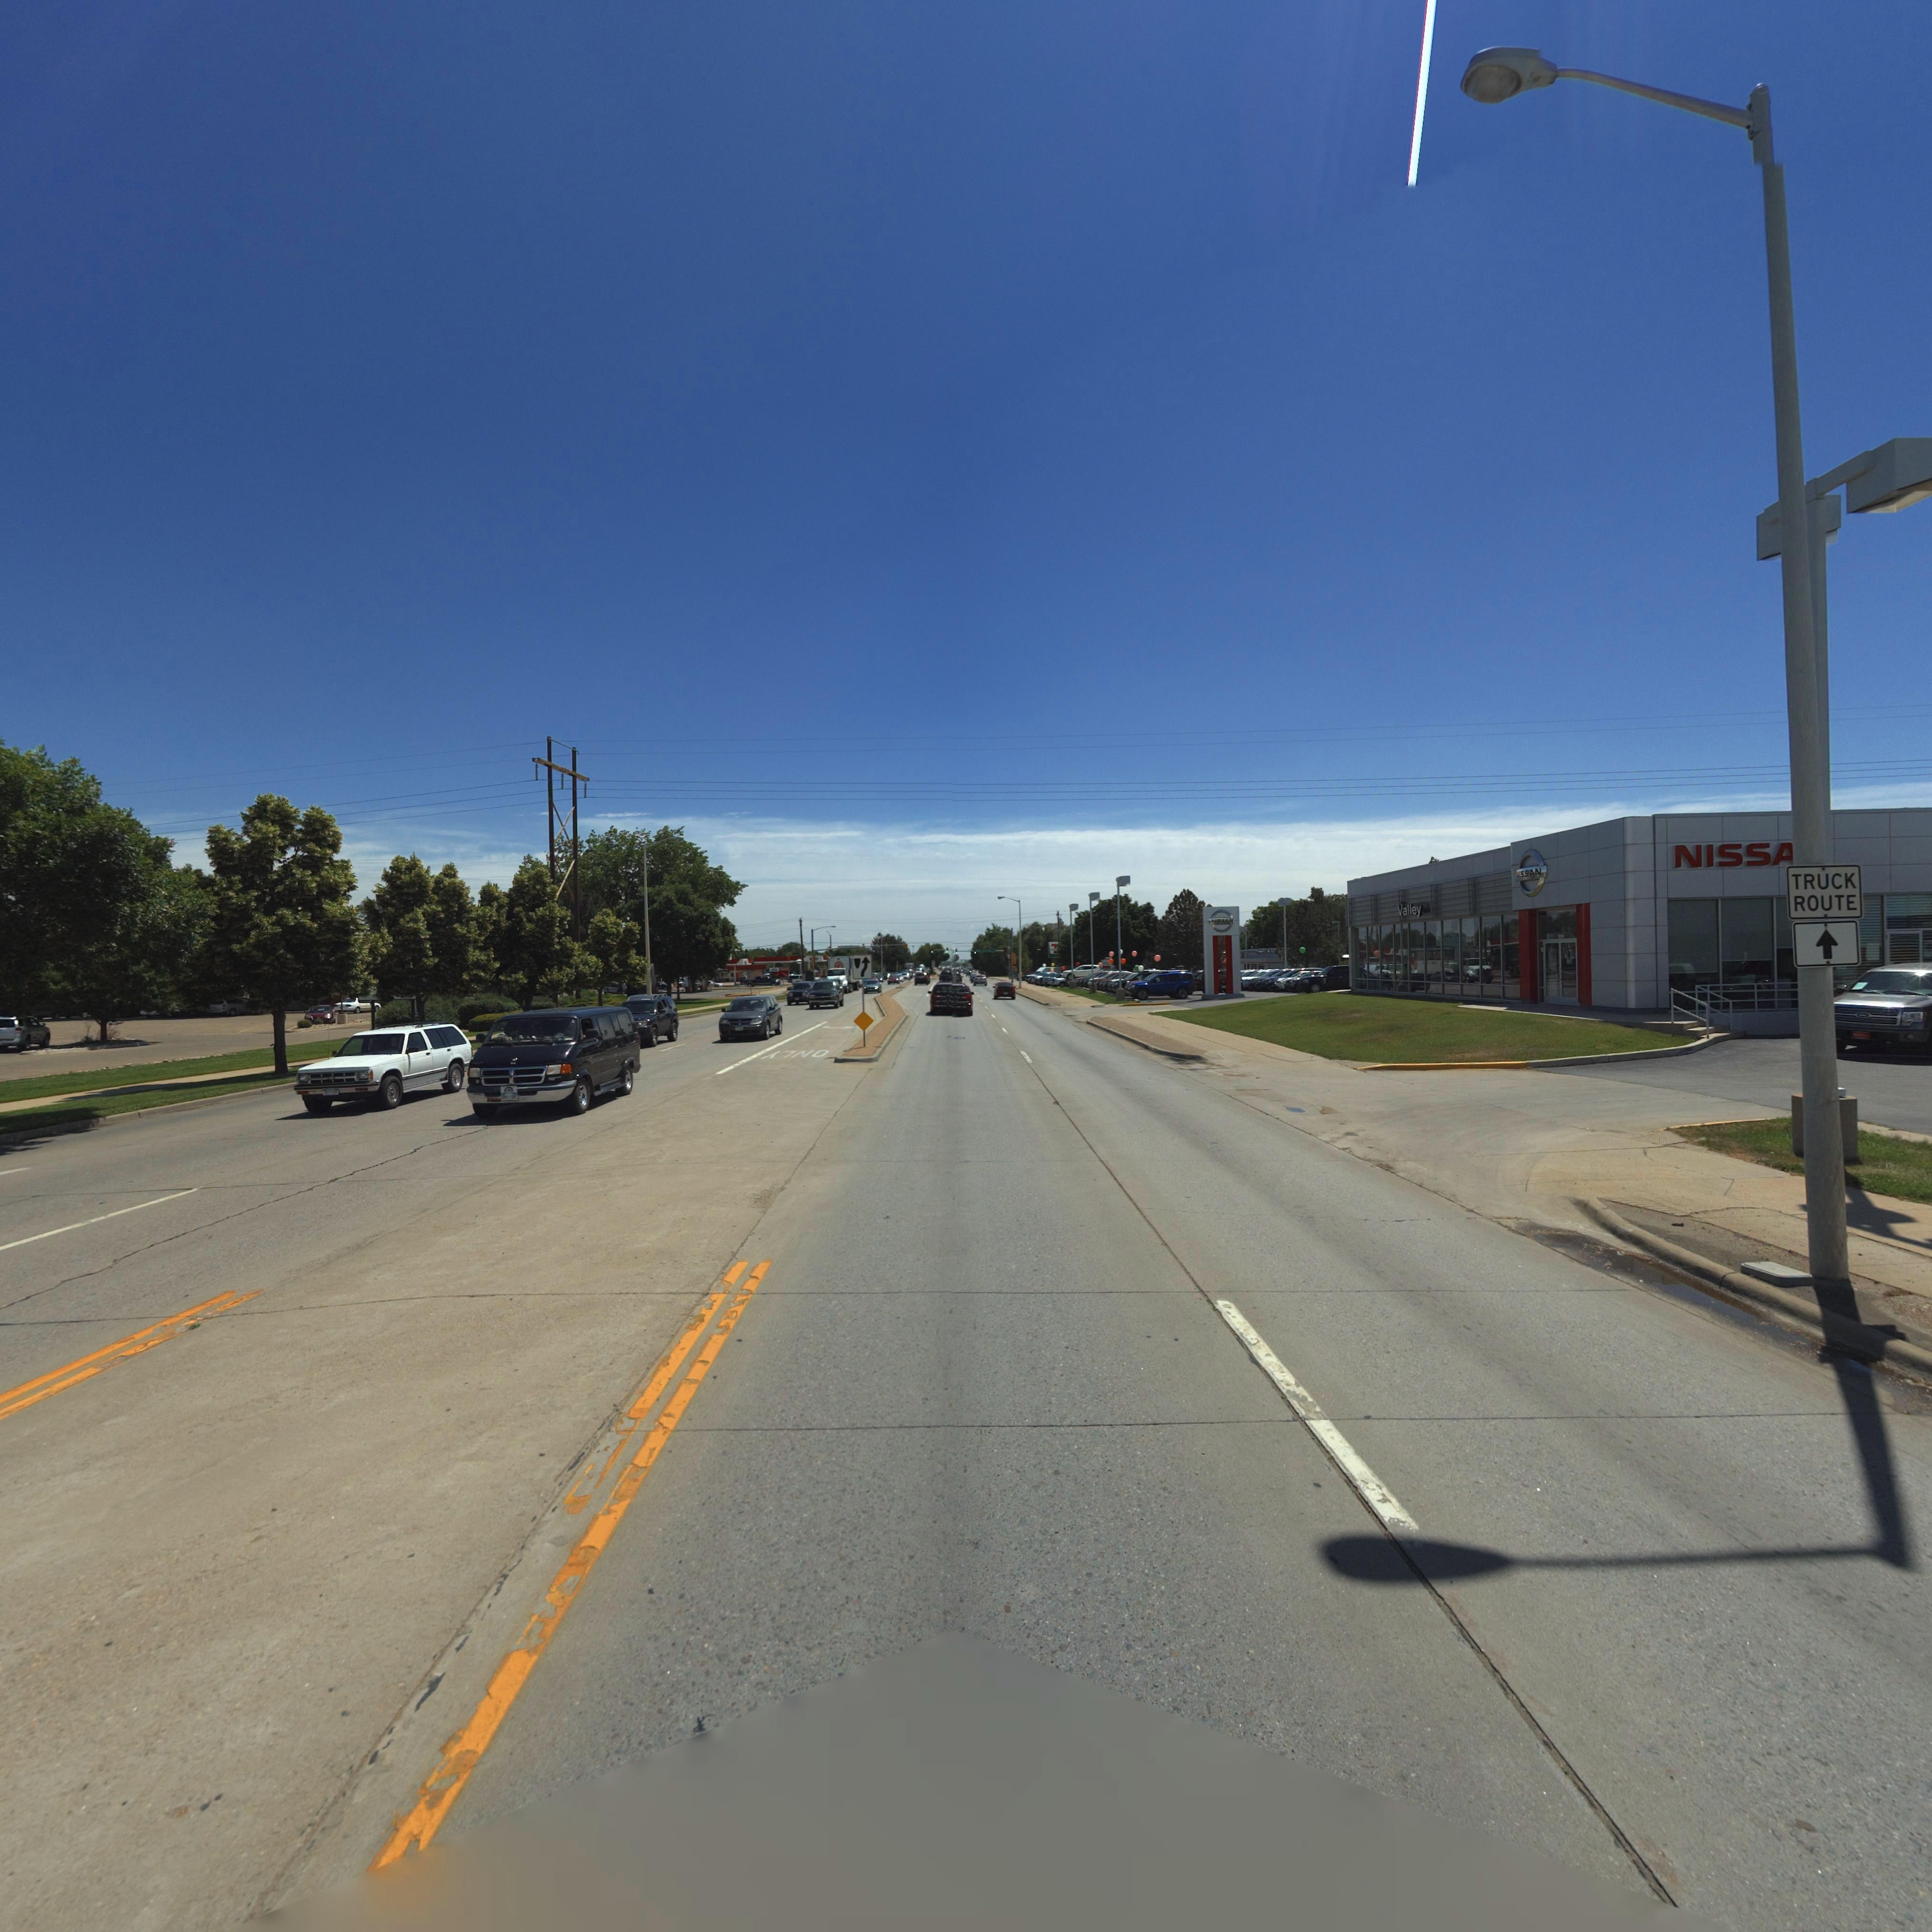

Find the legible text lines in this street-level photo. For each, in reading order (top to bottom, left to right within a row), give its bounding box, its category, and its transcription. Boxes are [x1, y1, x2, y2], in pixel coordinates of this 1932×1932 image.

[1674, 841, 1793, 869] BusinessName: NISSA
[1516, 867, 1542, 878] BusinessName: **SSAN
[1397, 903, 1421, 917] BusinessName: Valley
[1211, 918, 1233, 923] BusinessName: NISSAN
[1051, 943, 1058, 954] BusinessName: 7